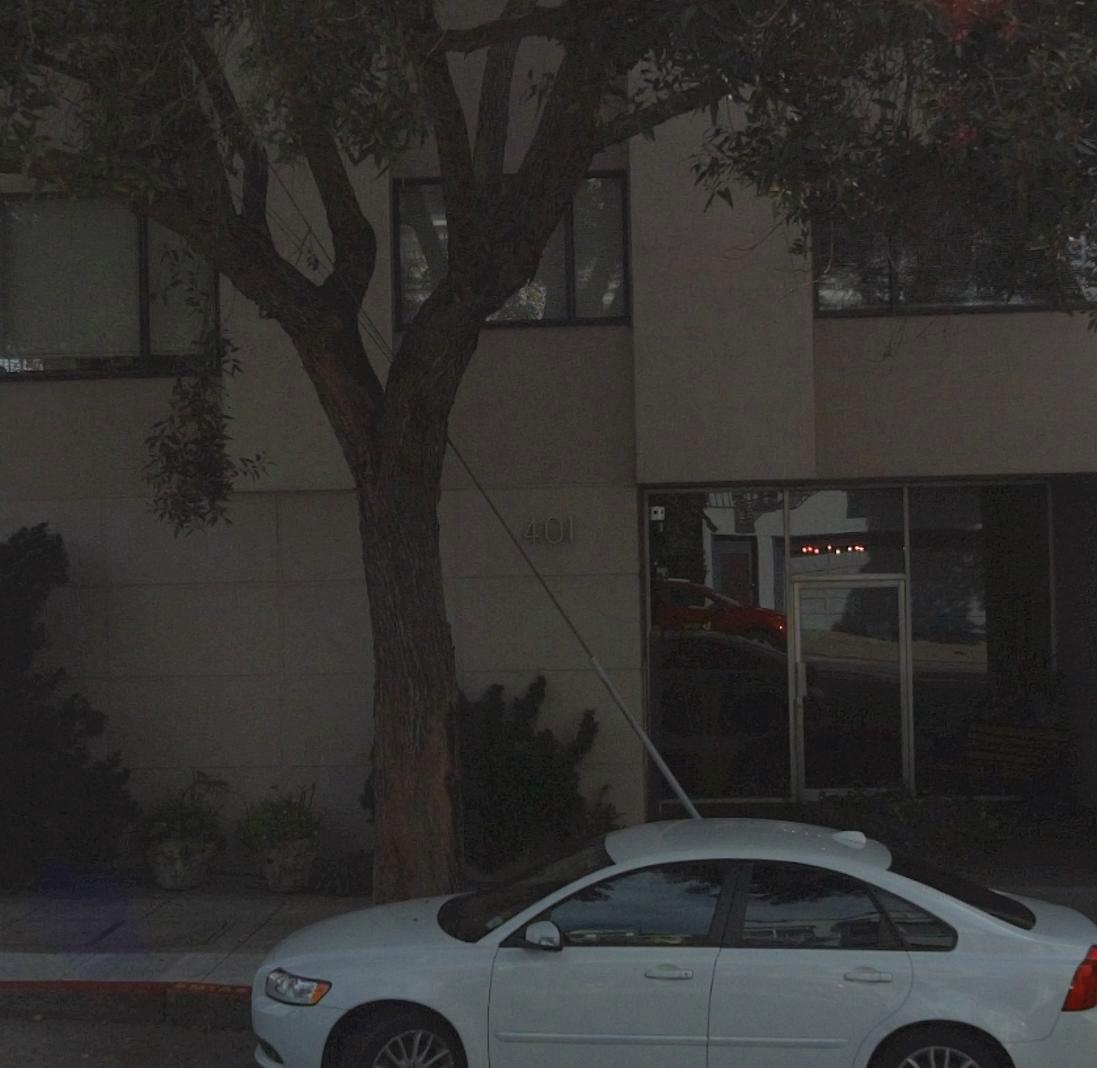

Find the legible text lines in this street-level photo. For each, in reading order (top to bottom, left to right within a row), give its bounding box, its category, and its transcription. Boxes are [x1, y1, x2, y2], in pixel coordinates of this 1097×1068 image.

[524, 514, 577, 546] StreetNumber: 401